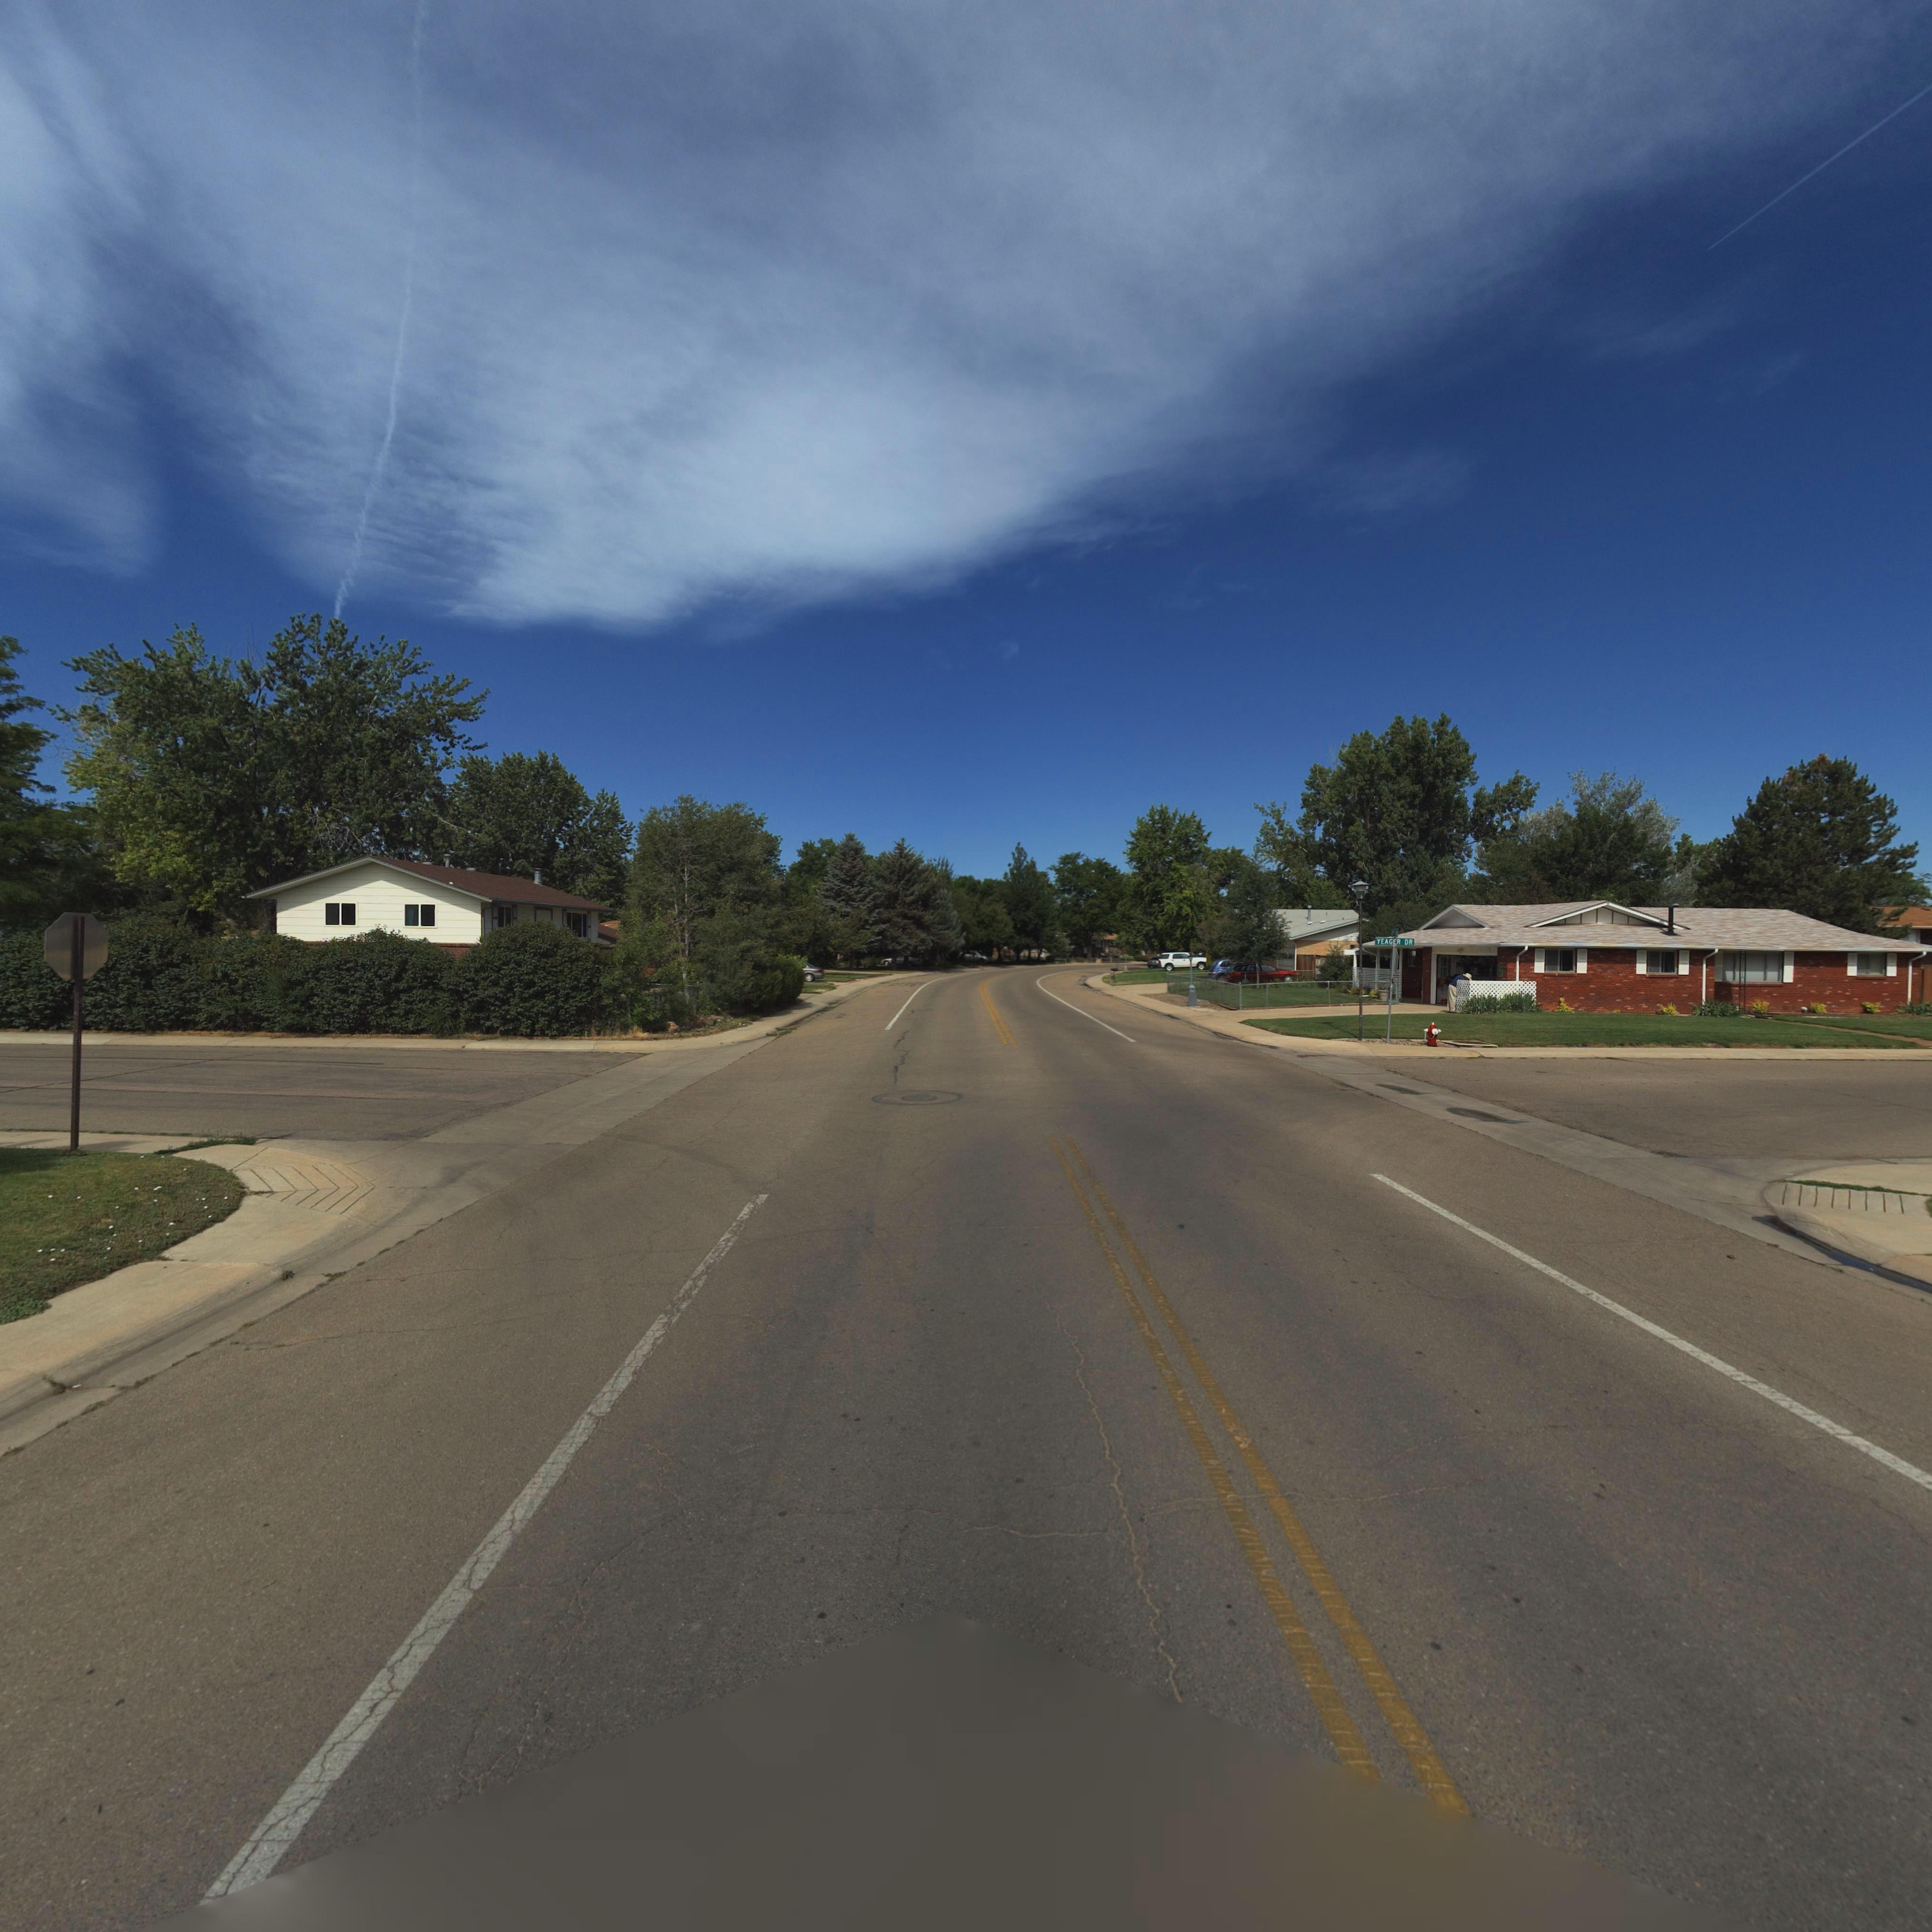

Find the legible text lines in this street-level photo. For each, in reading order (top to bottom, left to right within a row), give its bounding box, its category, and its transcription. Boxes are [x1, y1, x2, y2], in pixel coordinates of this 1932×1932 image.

[1376, 937, 1413, 945] StreetName: YEAGER DR